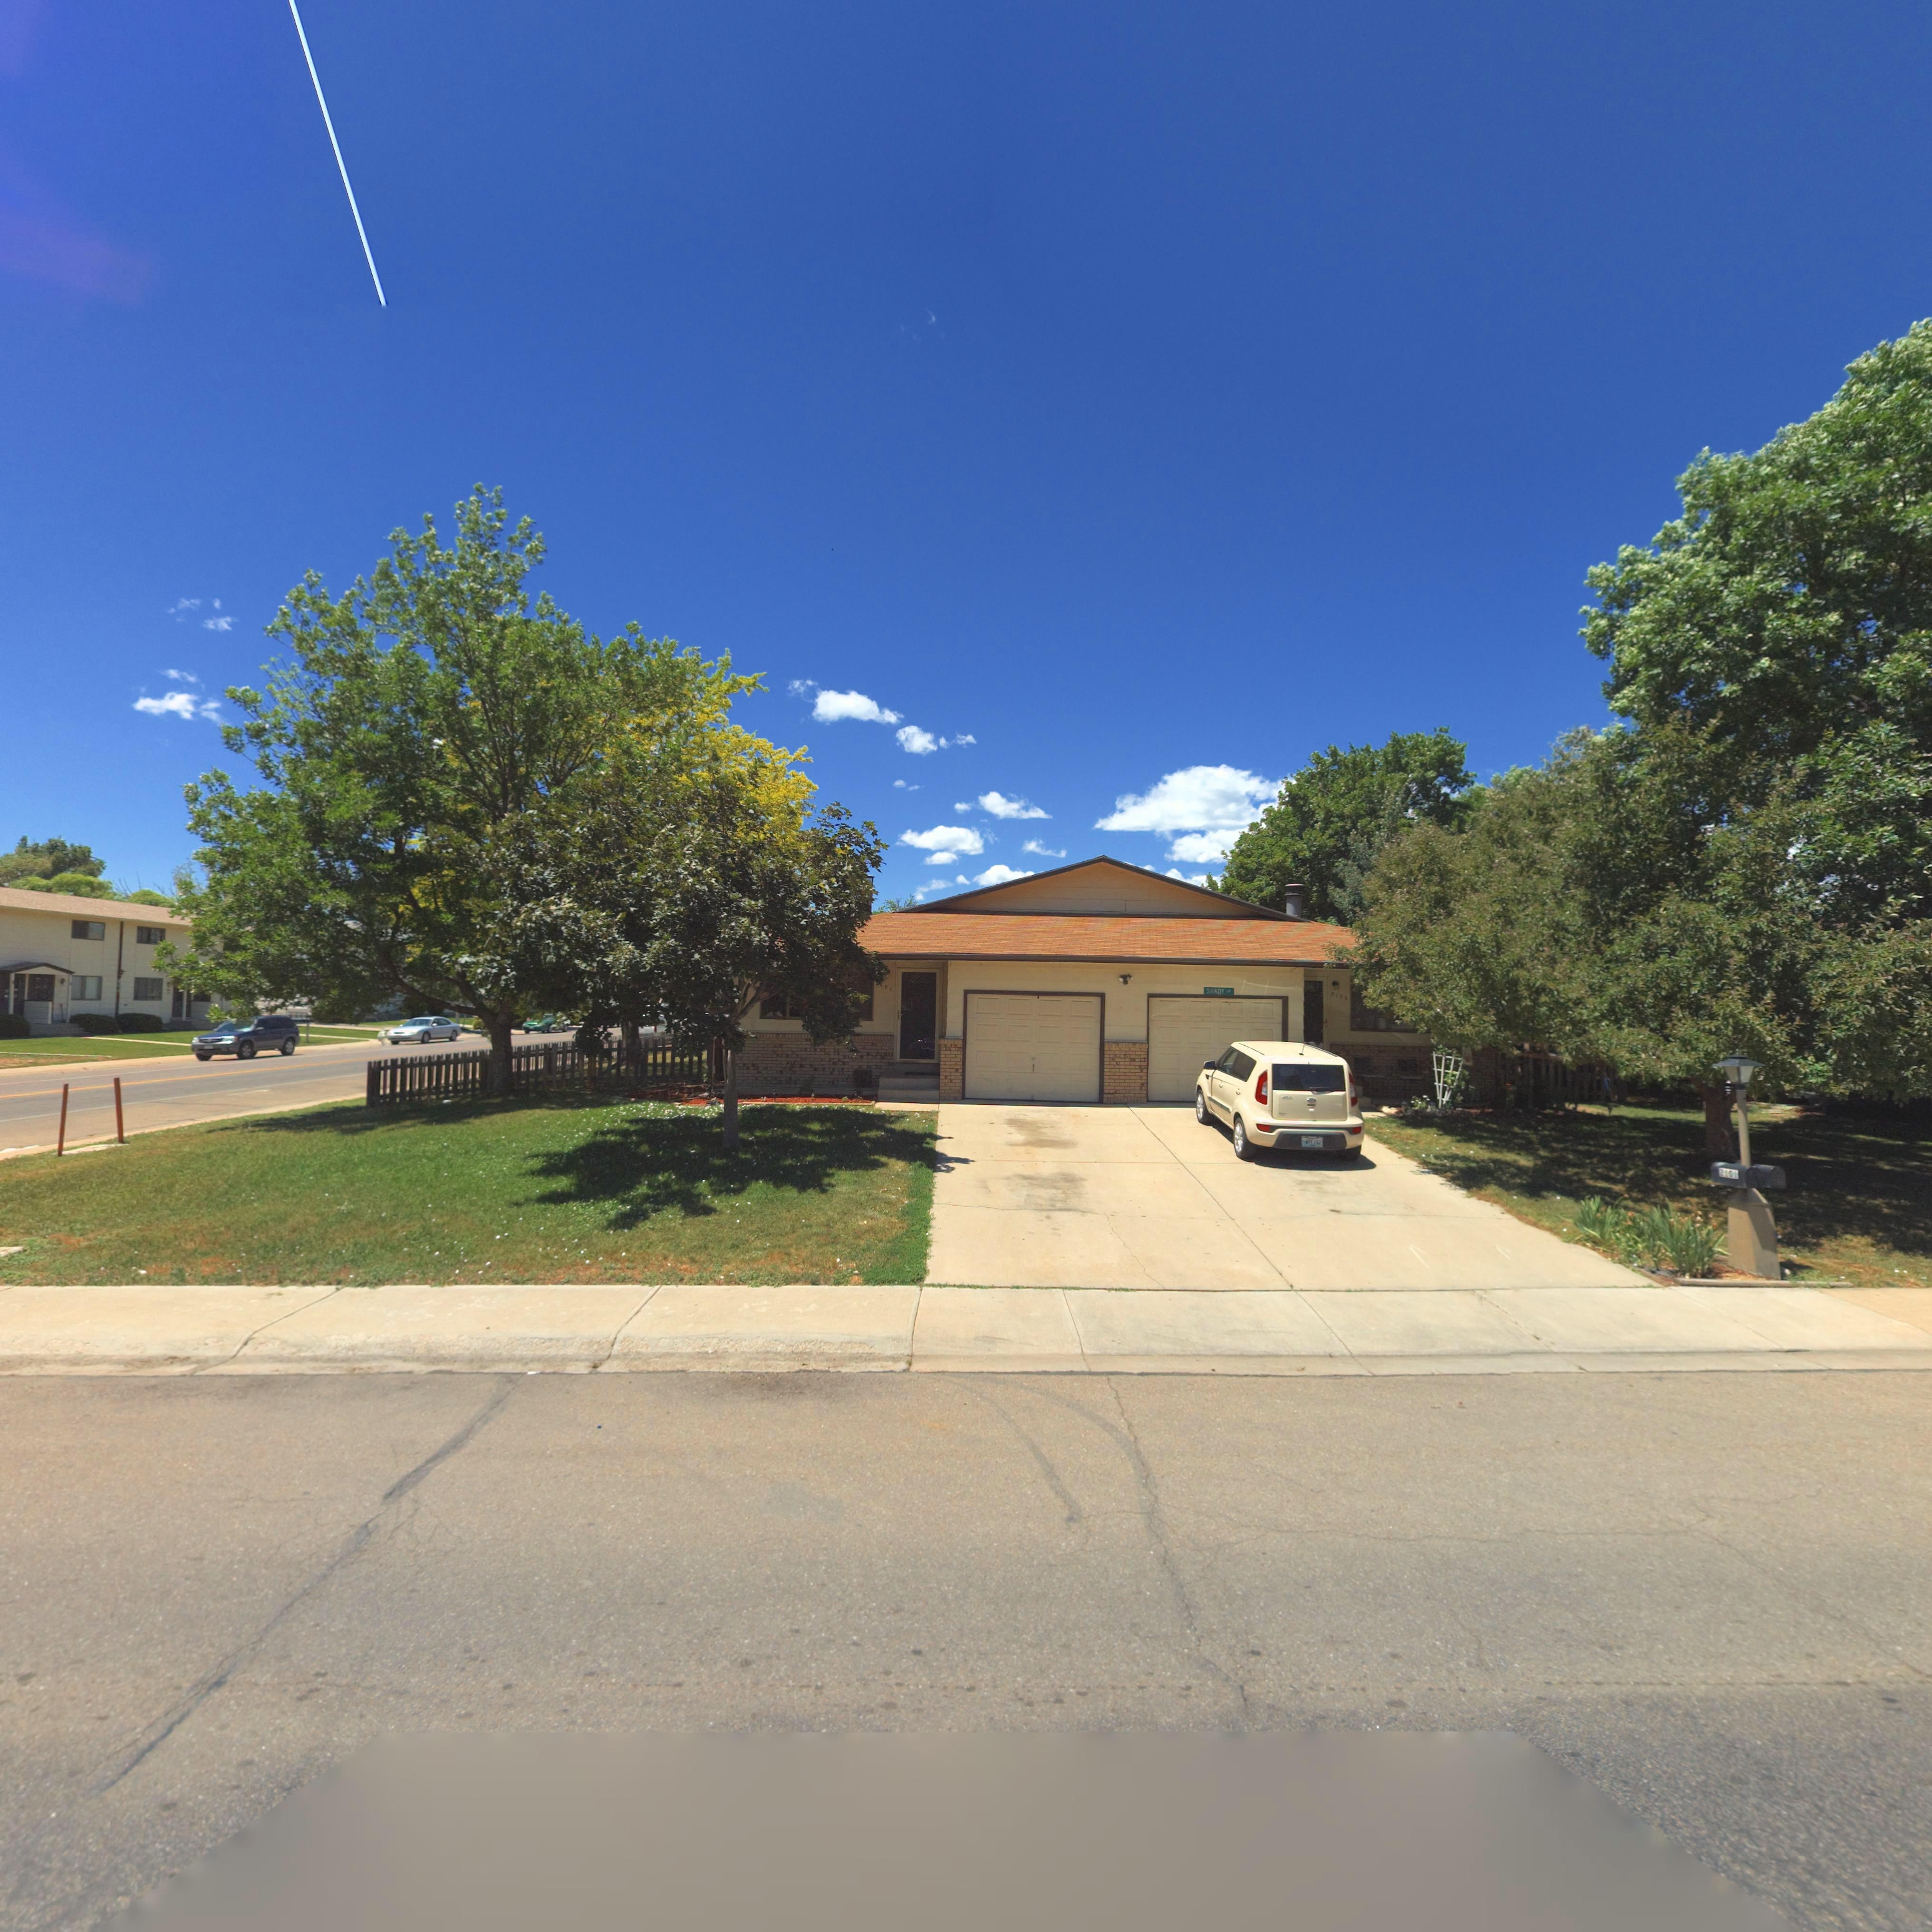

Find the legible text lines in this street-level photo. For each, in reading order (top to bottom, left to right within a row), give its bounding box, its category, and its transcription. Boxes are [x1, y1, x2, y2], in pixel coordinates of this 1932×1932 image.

[1205, 987, 1231, 995] None: SHADY LN
[1330, 990, 1349, 1001] StreetNumber: 2103
[1719, 1167, 1738, 1179] StreetNumber: 2101